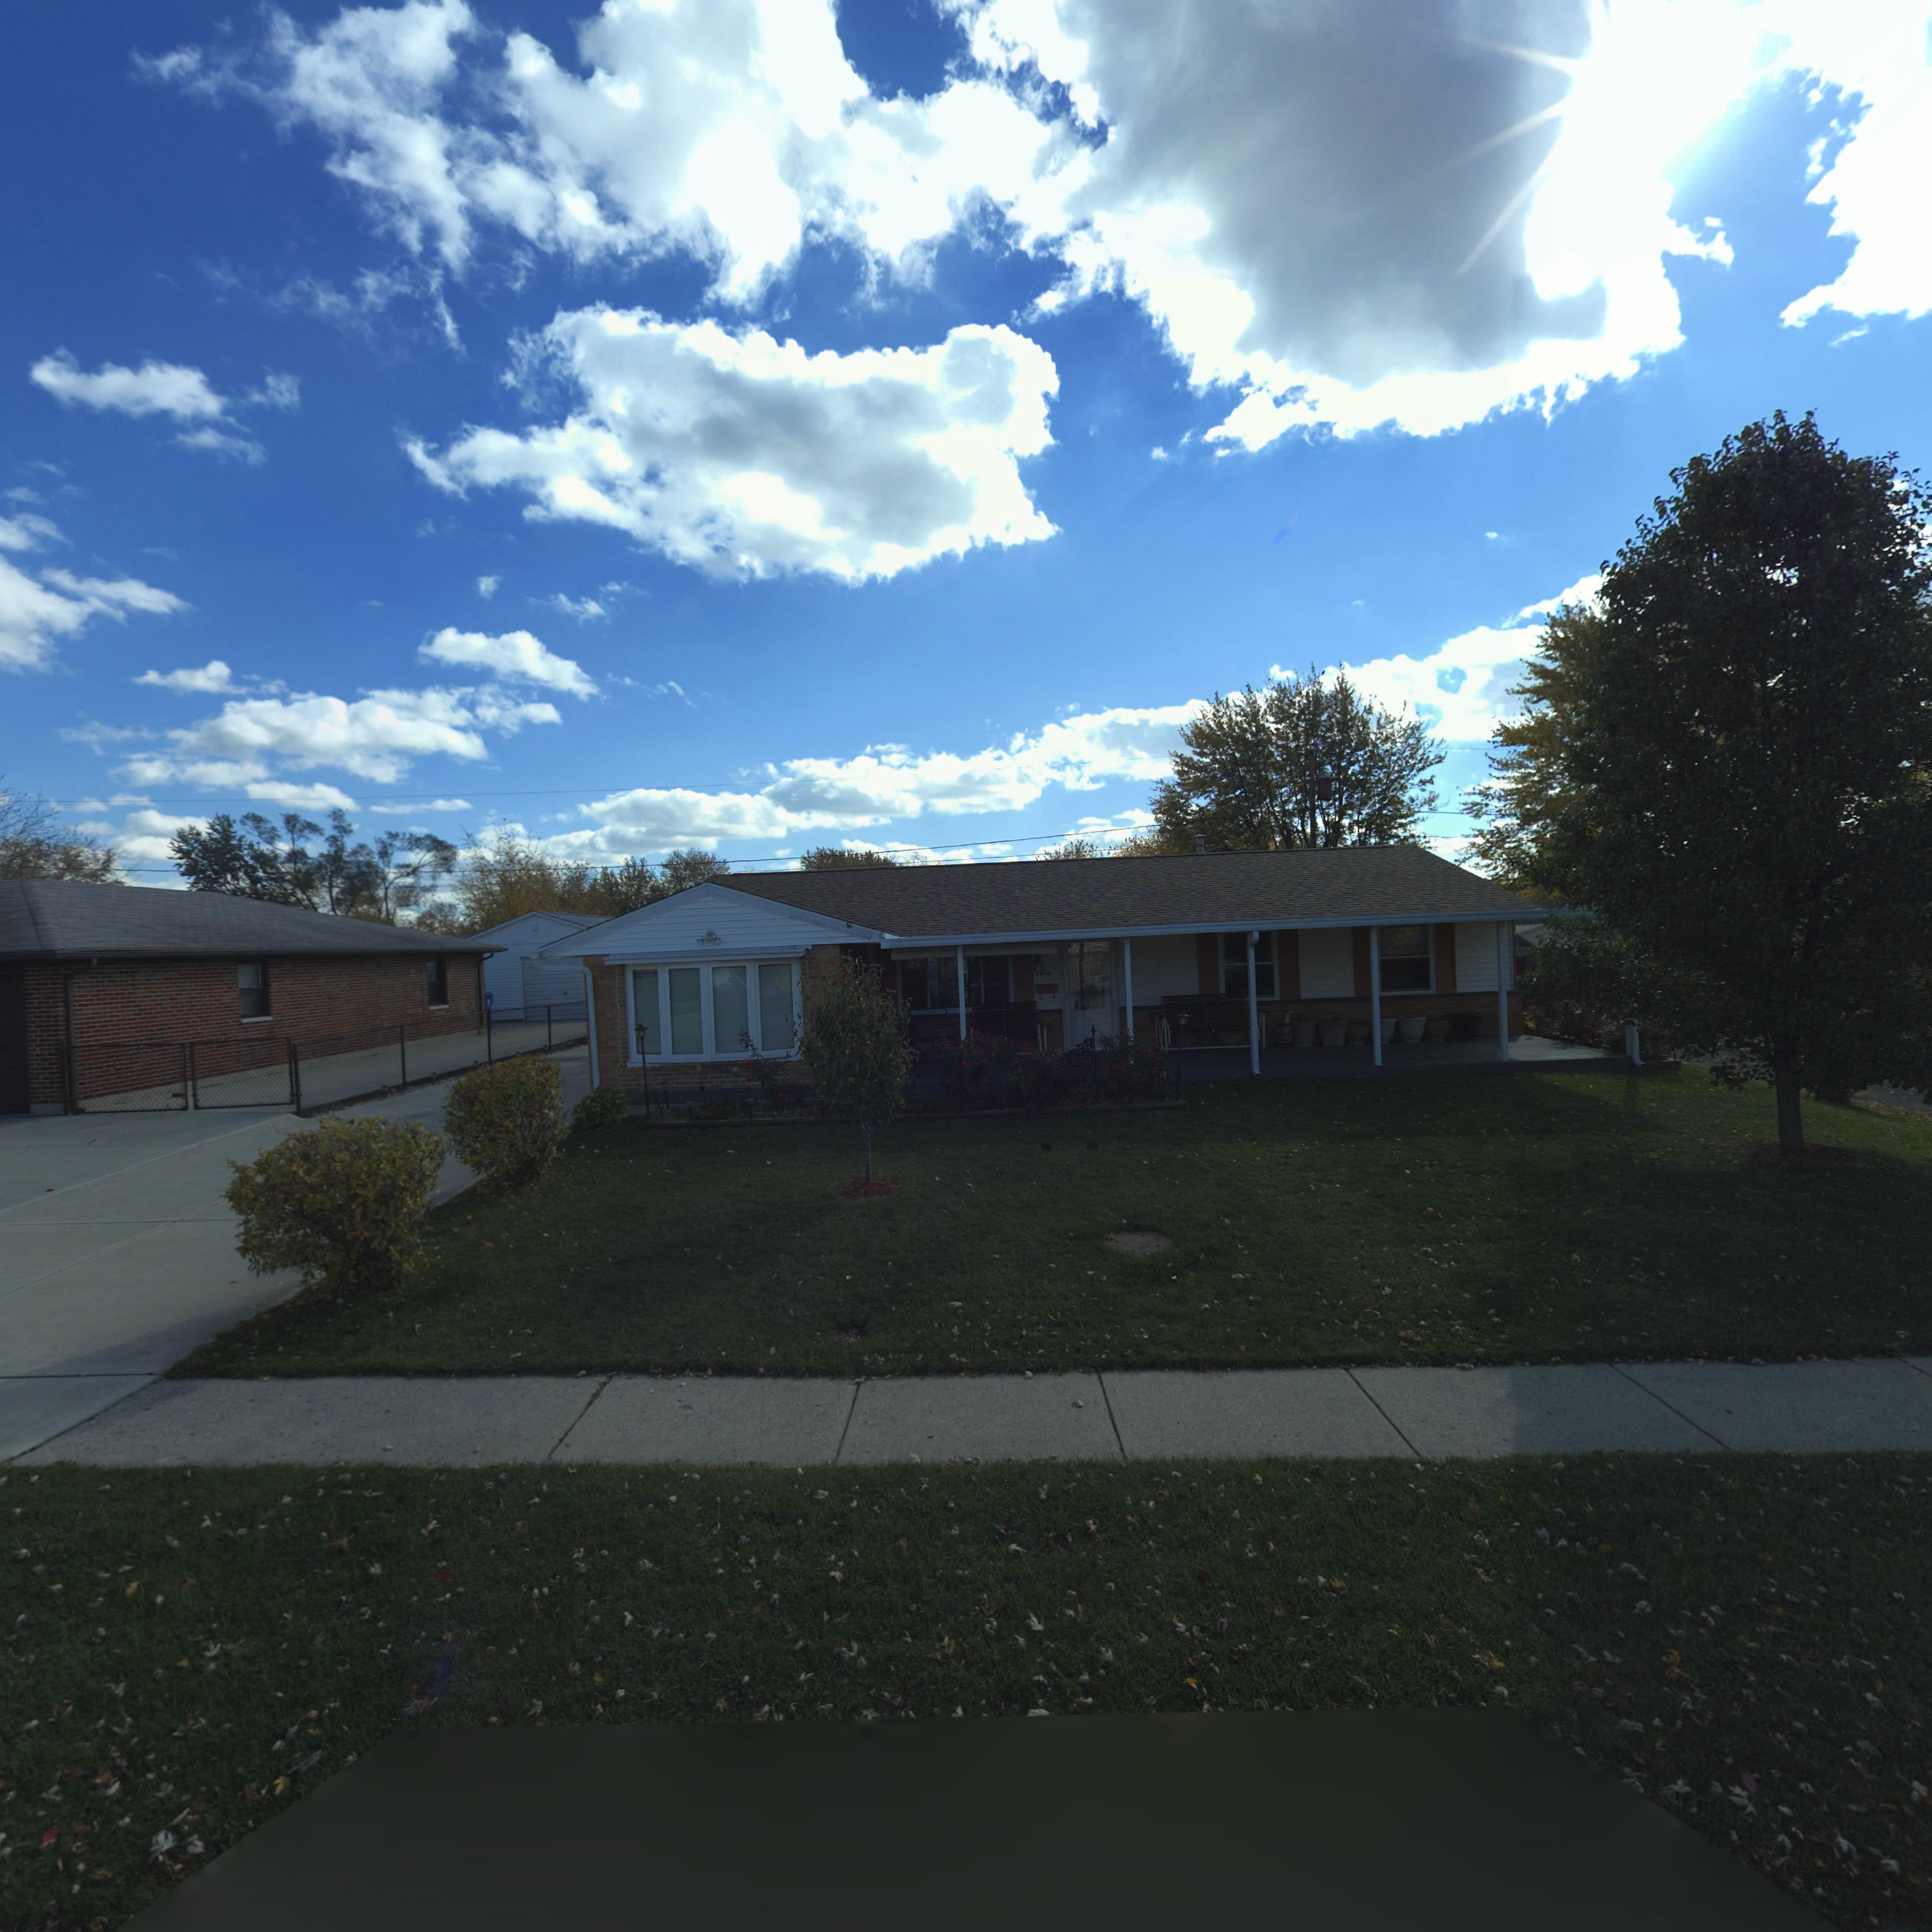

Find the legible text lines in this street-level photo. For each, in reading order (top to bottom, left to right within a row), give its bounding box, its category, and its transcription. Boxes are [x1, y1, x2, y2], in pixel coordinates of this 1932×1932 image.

[1035, 970, 1051, 976] StreetNumber: 7686
[1067, 1054, 1092, 1068] StreetNumber: 7686